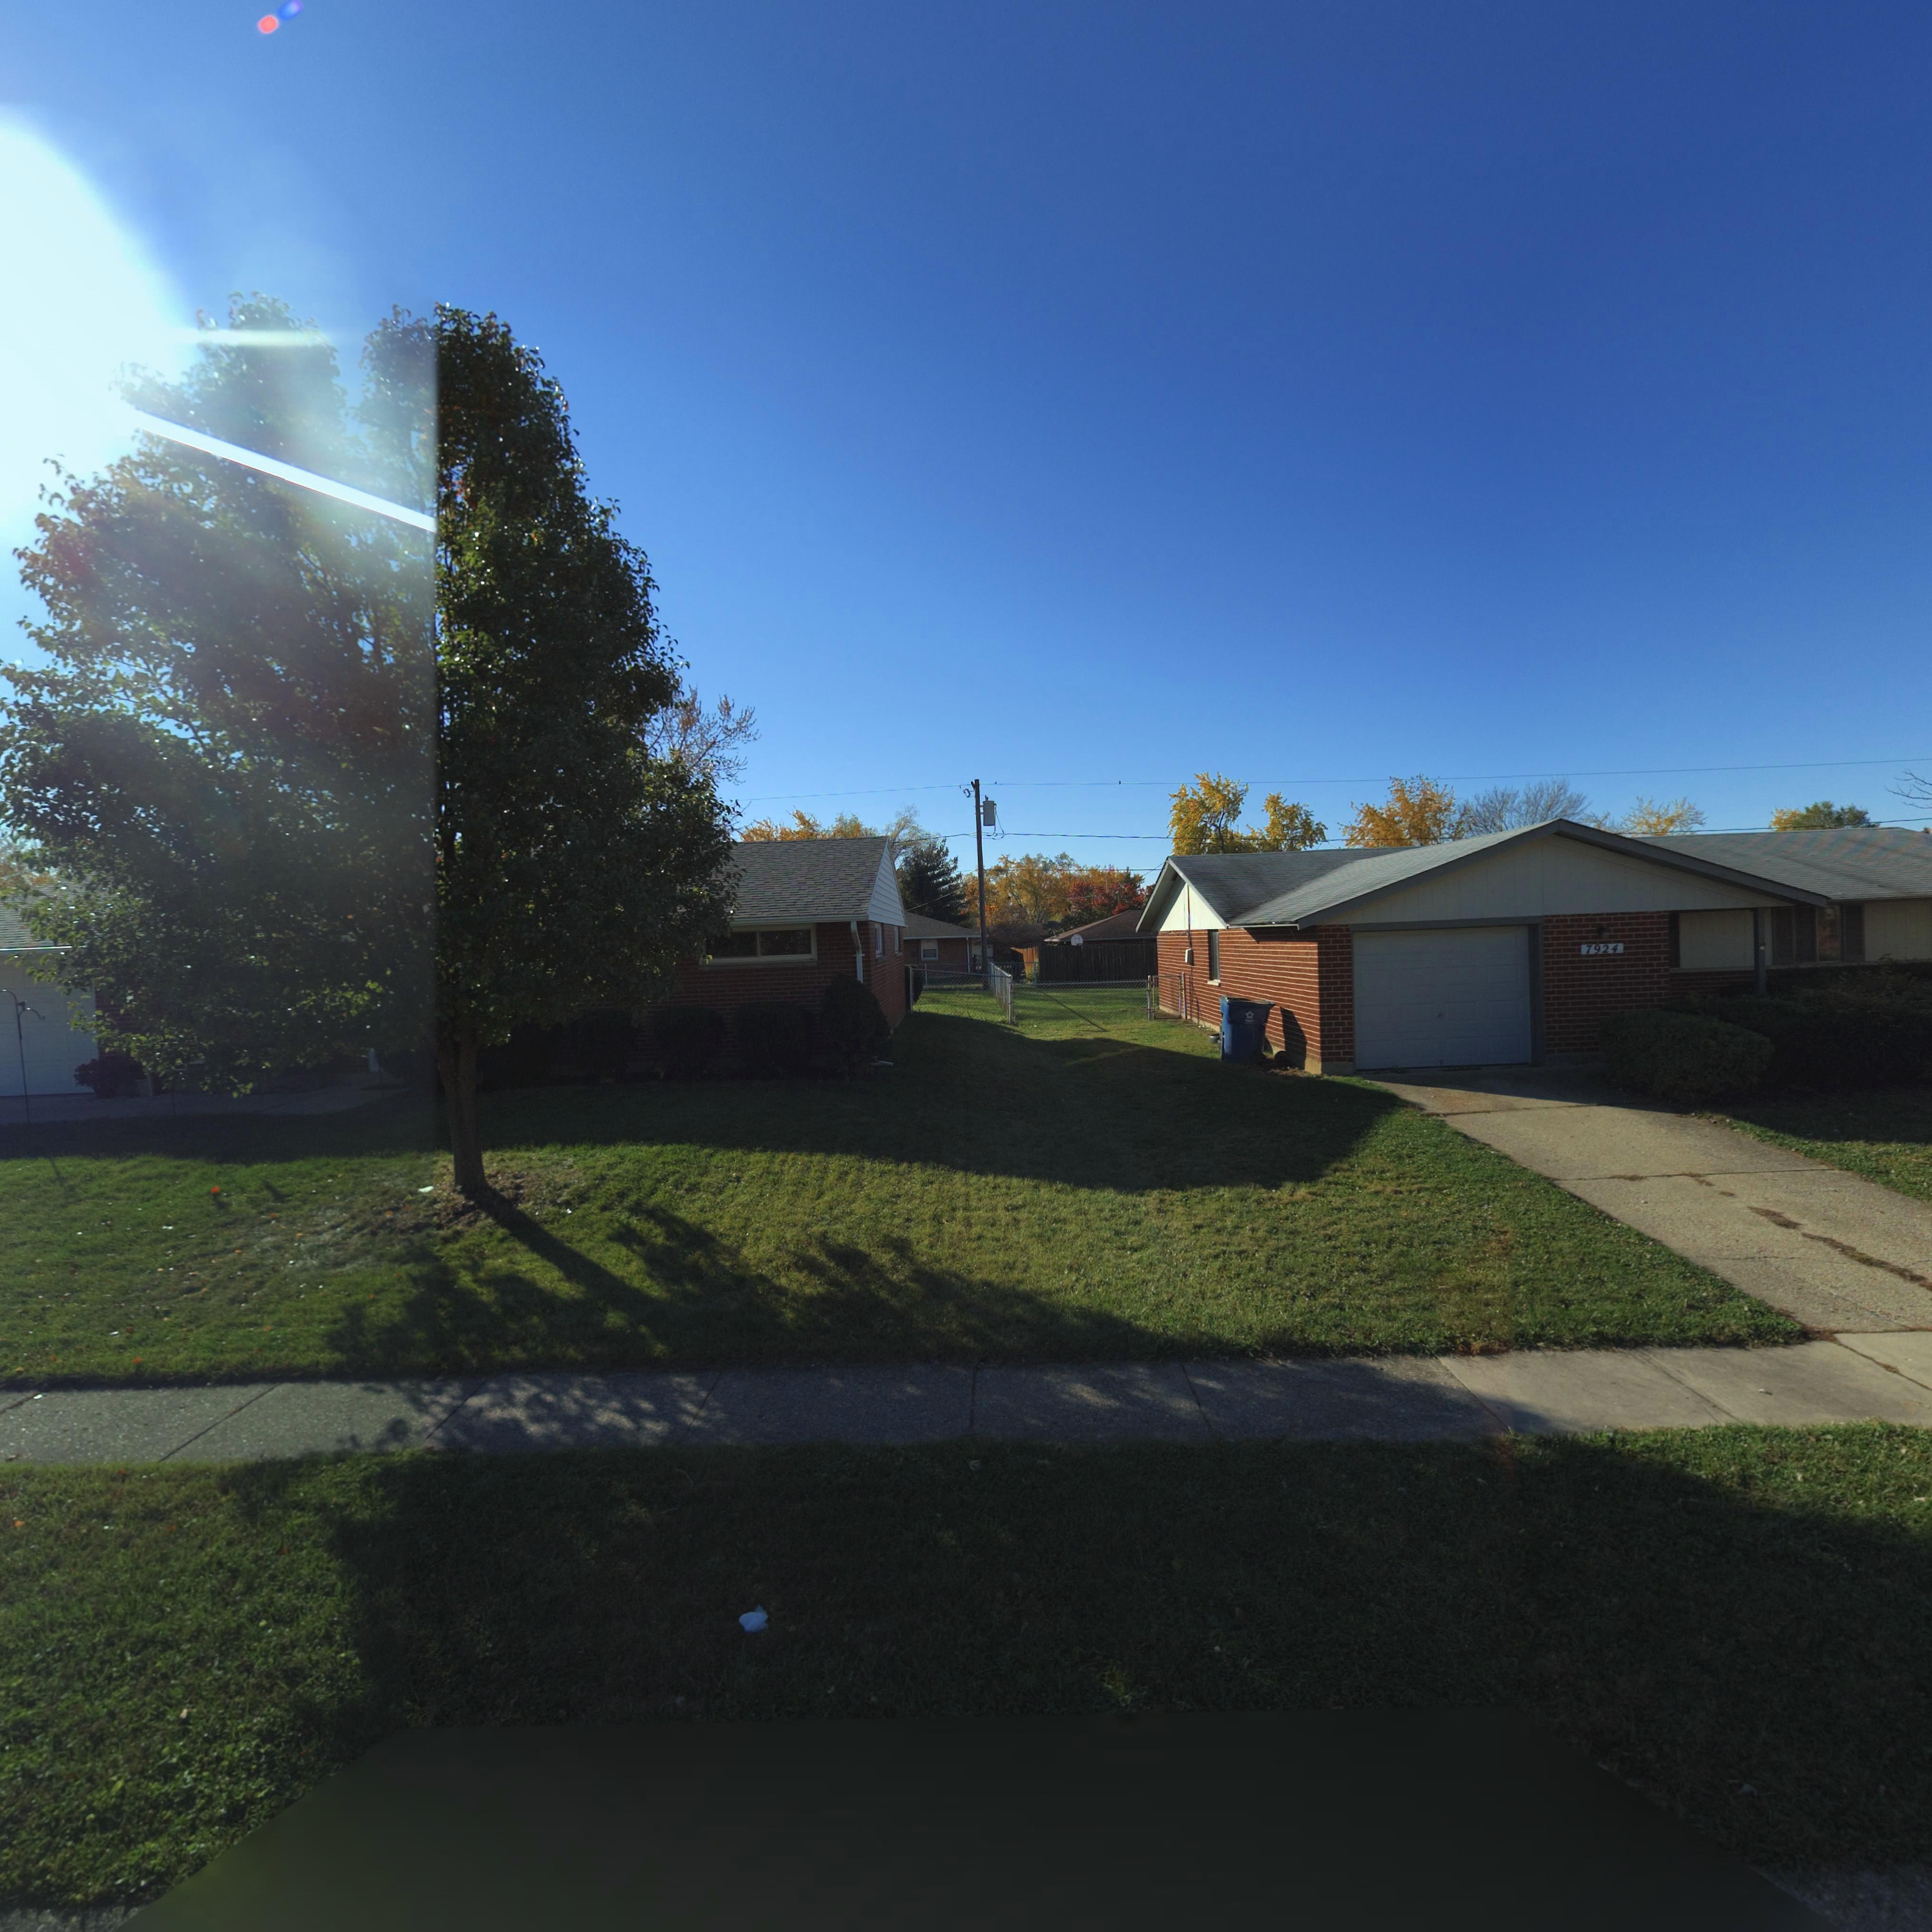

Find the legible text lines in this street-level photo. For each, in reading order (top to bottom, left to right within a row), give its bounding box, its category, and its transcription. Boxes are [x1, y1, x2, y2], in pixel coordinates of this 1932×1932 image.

[1585, 943, 1620, 955] StreetNumber: 7924